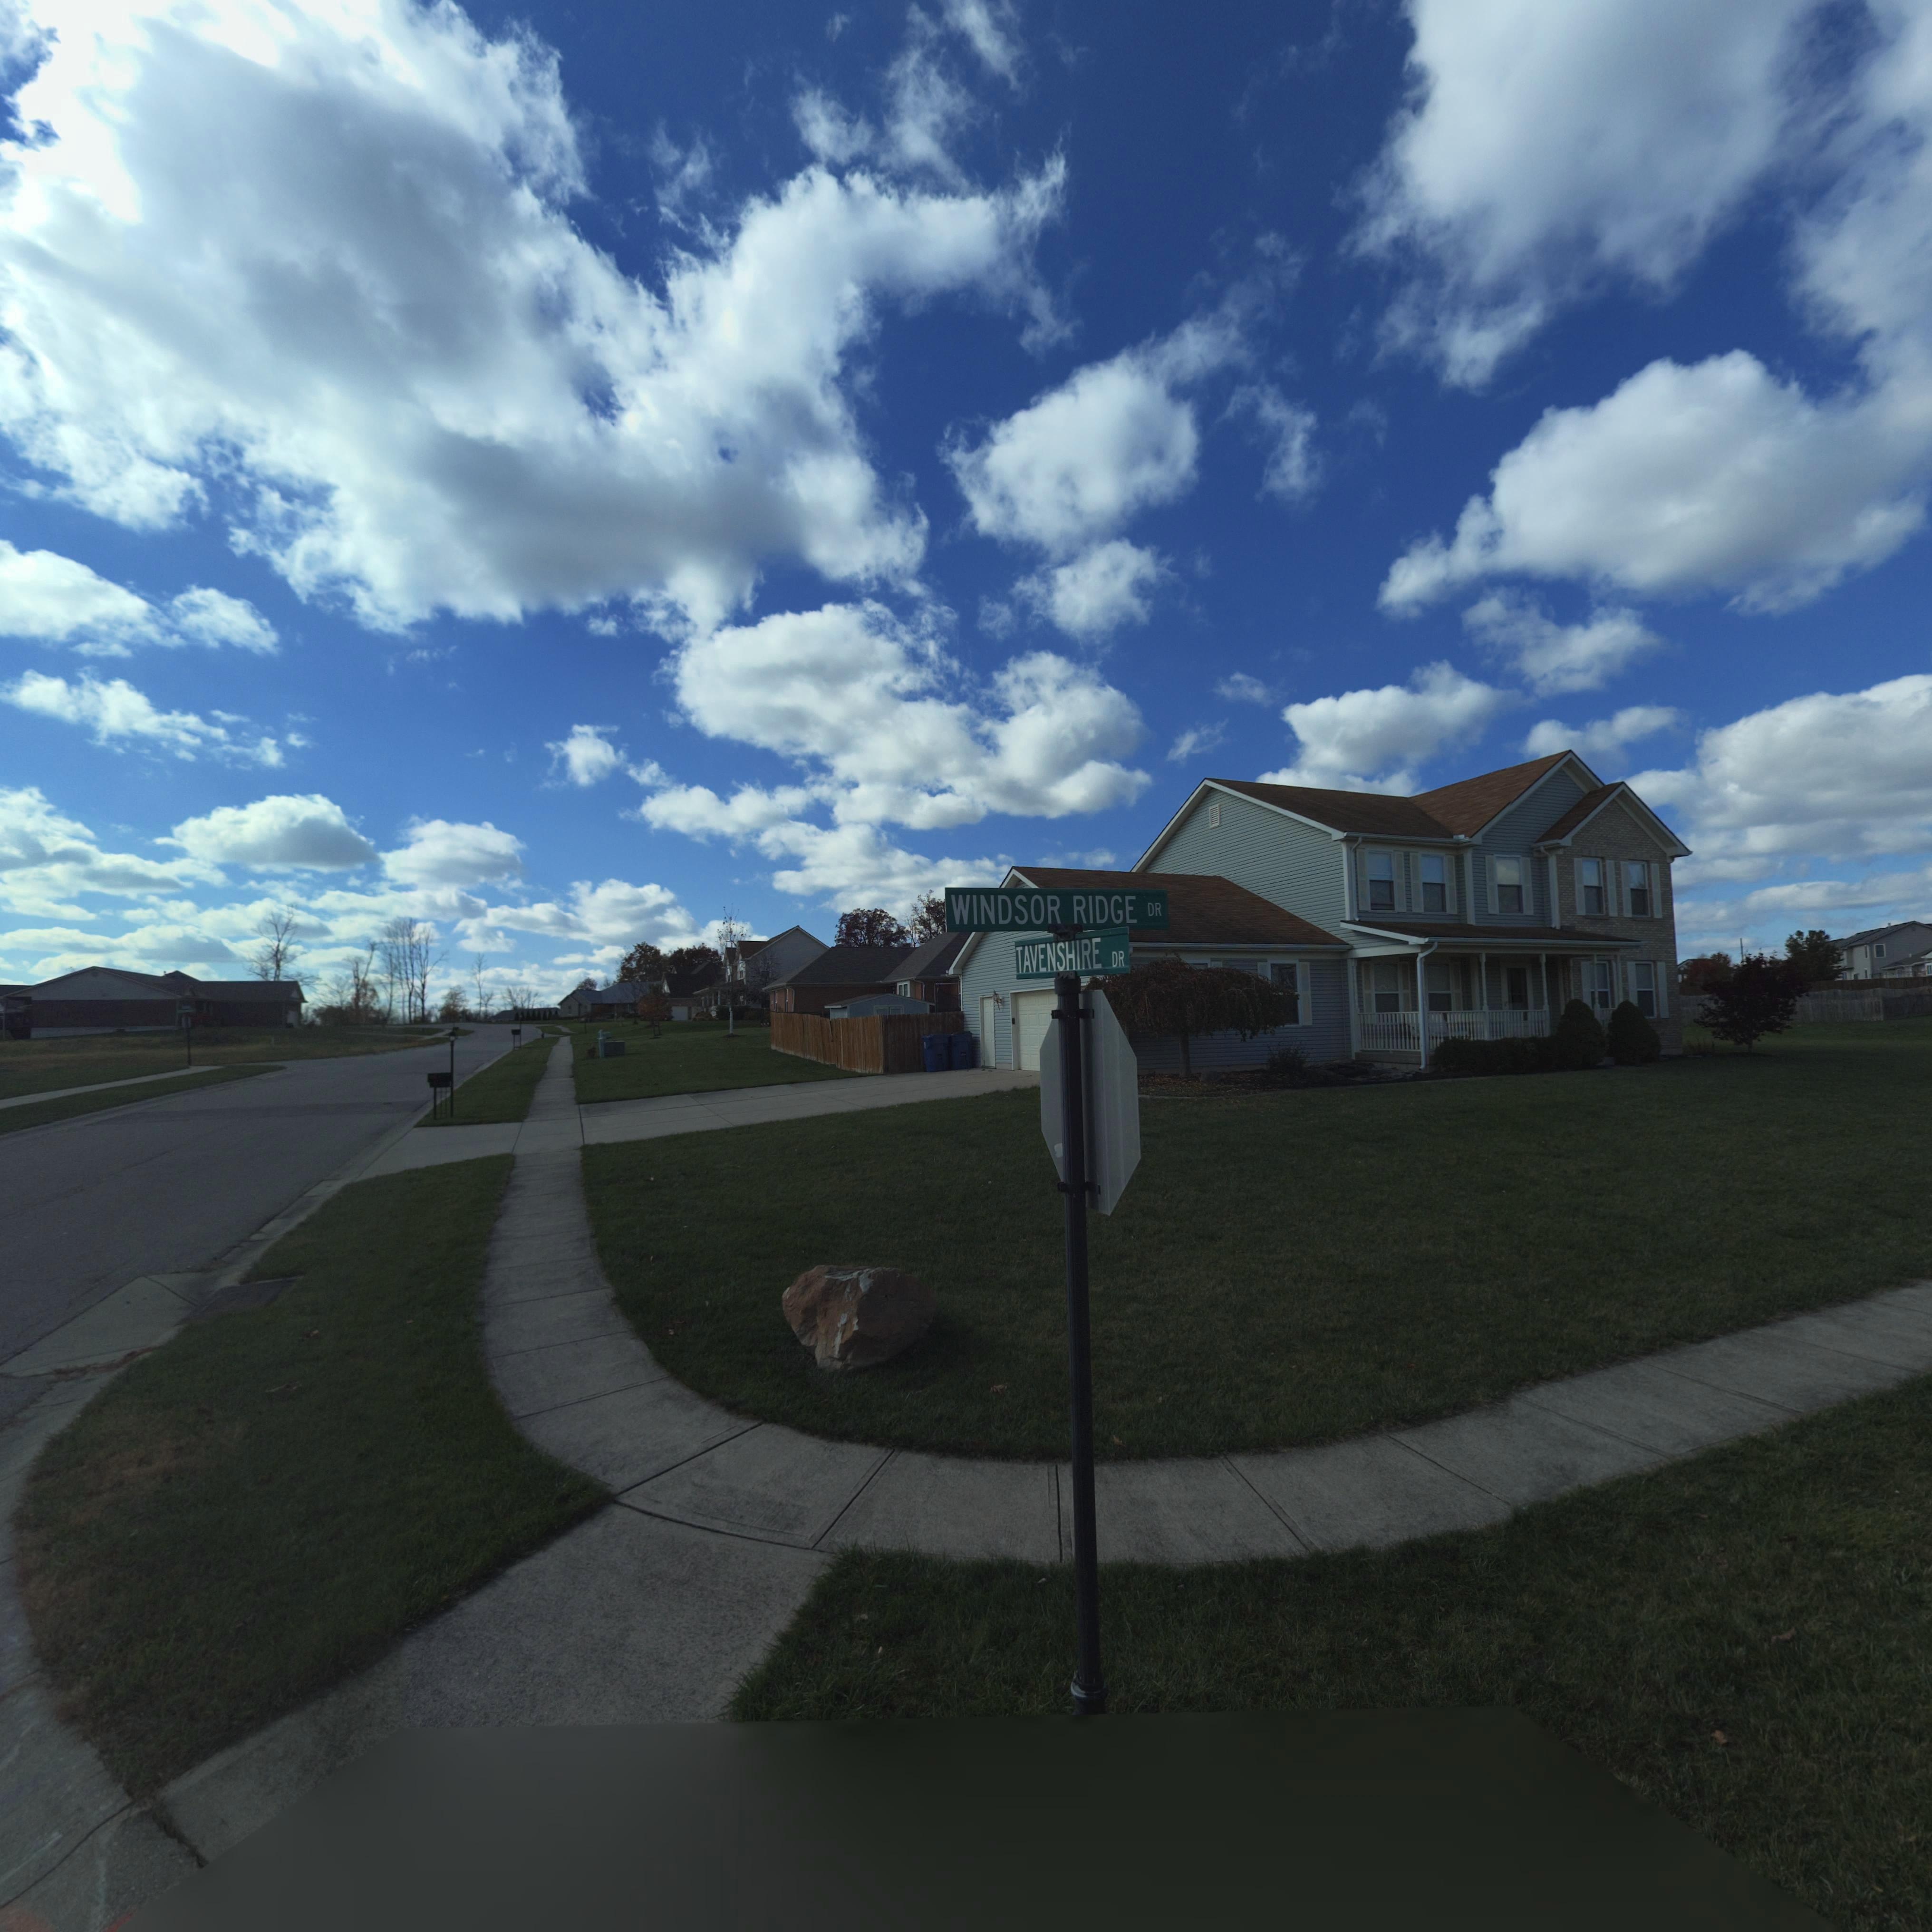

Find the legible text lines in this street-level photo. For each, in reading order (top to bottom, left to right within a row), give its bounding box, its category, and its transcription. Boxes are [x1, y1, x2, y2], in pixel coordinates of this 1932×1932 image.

[949, 893, 1163, 926] StreetName: WINDSOR RIDGE DR
[1015, 936, 1126, 974] StreetName: TAVENSHIRE DR